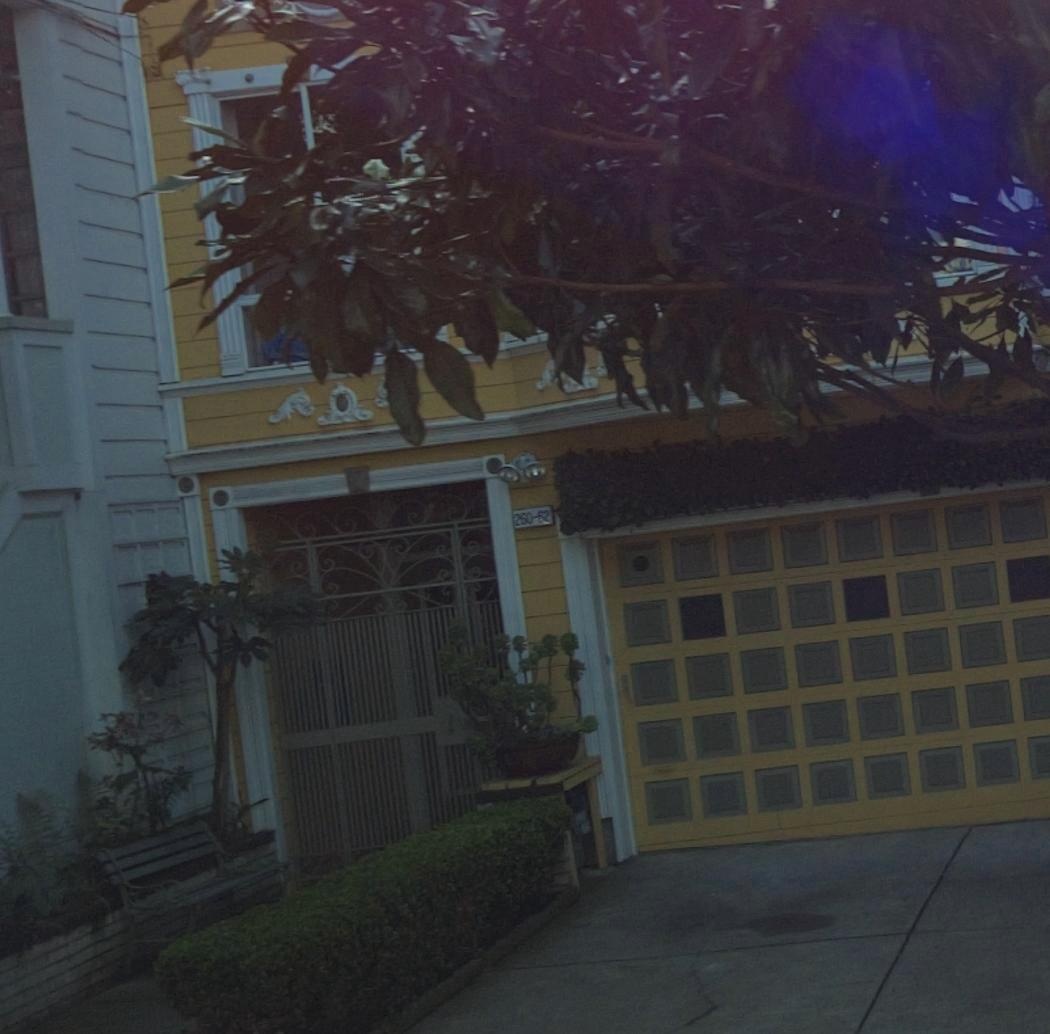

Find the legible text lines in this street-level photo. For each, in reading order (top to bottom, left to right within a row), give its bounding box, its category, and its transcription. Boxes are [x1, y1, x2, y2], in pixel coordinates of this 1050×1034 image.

[513, 512, 534, 526] StreetNumber: 260
[537, 509, 549, 524] StreetNumber: 62